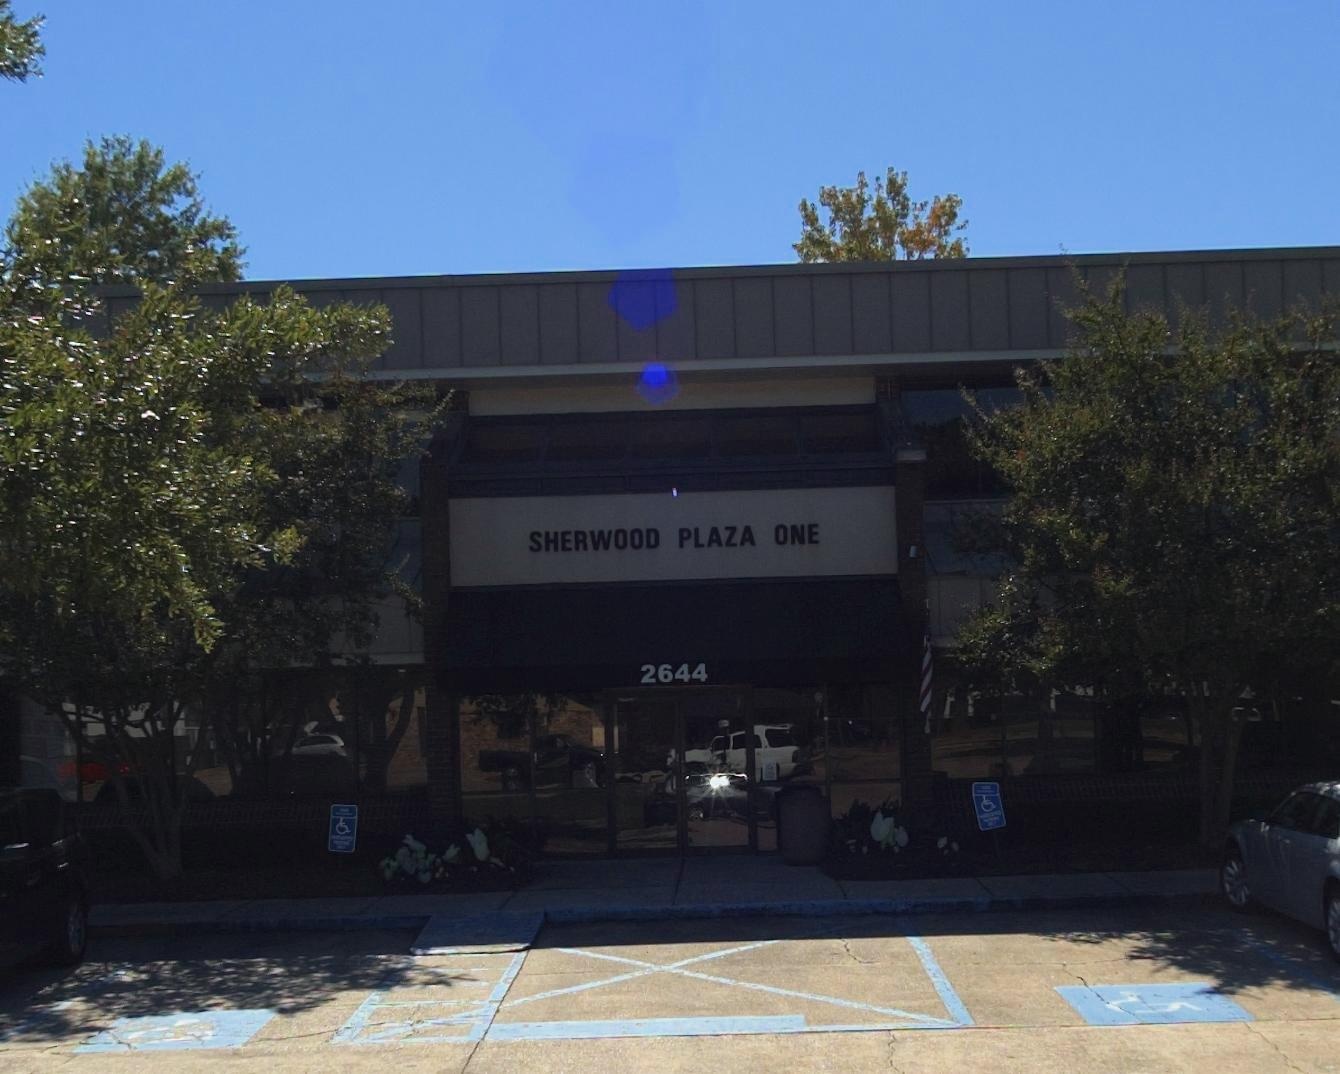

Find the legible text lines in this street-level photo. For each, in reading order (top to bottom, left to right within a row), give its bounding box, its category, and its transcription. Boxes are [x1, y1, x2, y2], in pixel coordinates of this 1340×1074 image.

[527, 521, 822, 555] BusinessName: SHERWOOD PLAZA ONE
[638, 660, 710, 686] StreetNumber: 2644